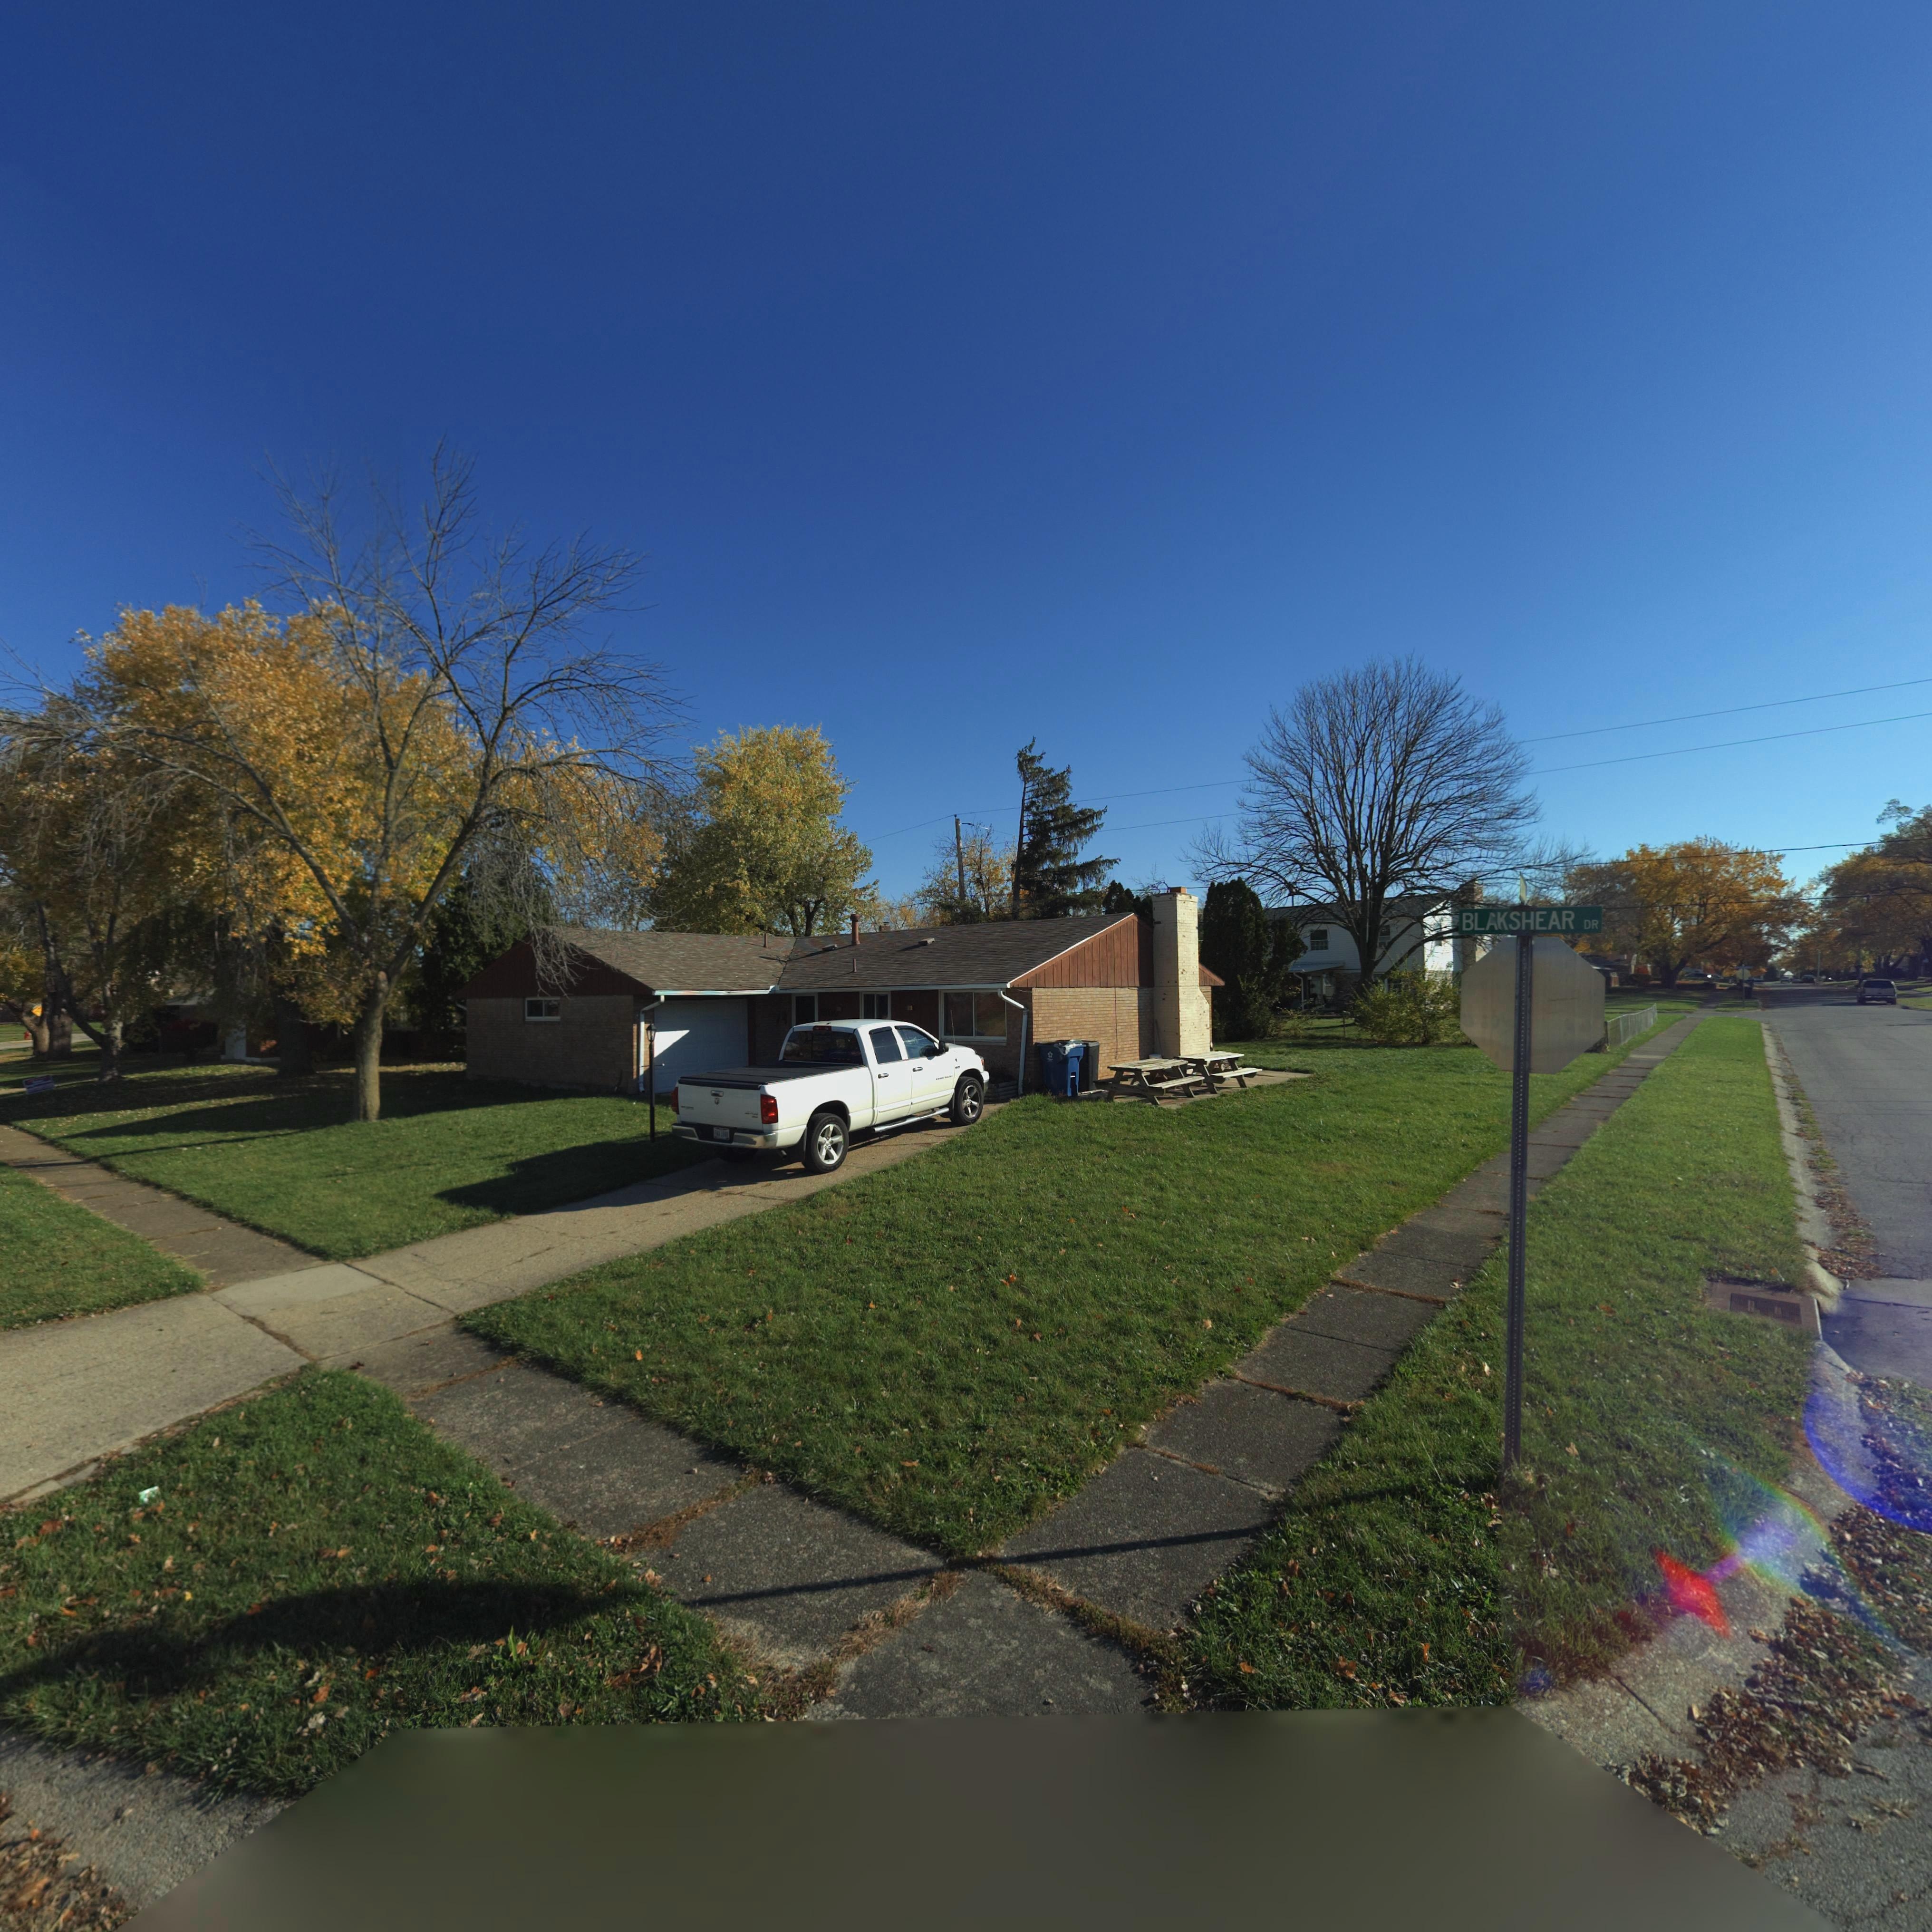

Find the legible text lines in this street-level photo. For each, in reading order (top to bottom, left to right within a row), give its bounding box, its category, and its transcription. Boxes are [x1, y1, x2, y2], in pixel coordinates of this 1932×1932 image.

[818, 1007, 834, 1018] StreetNumber: 780